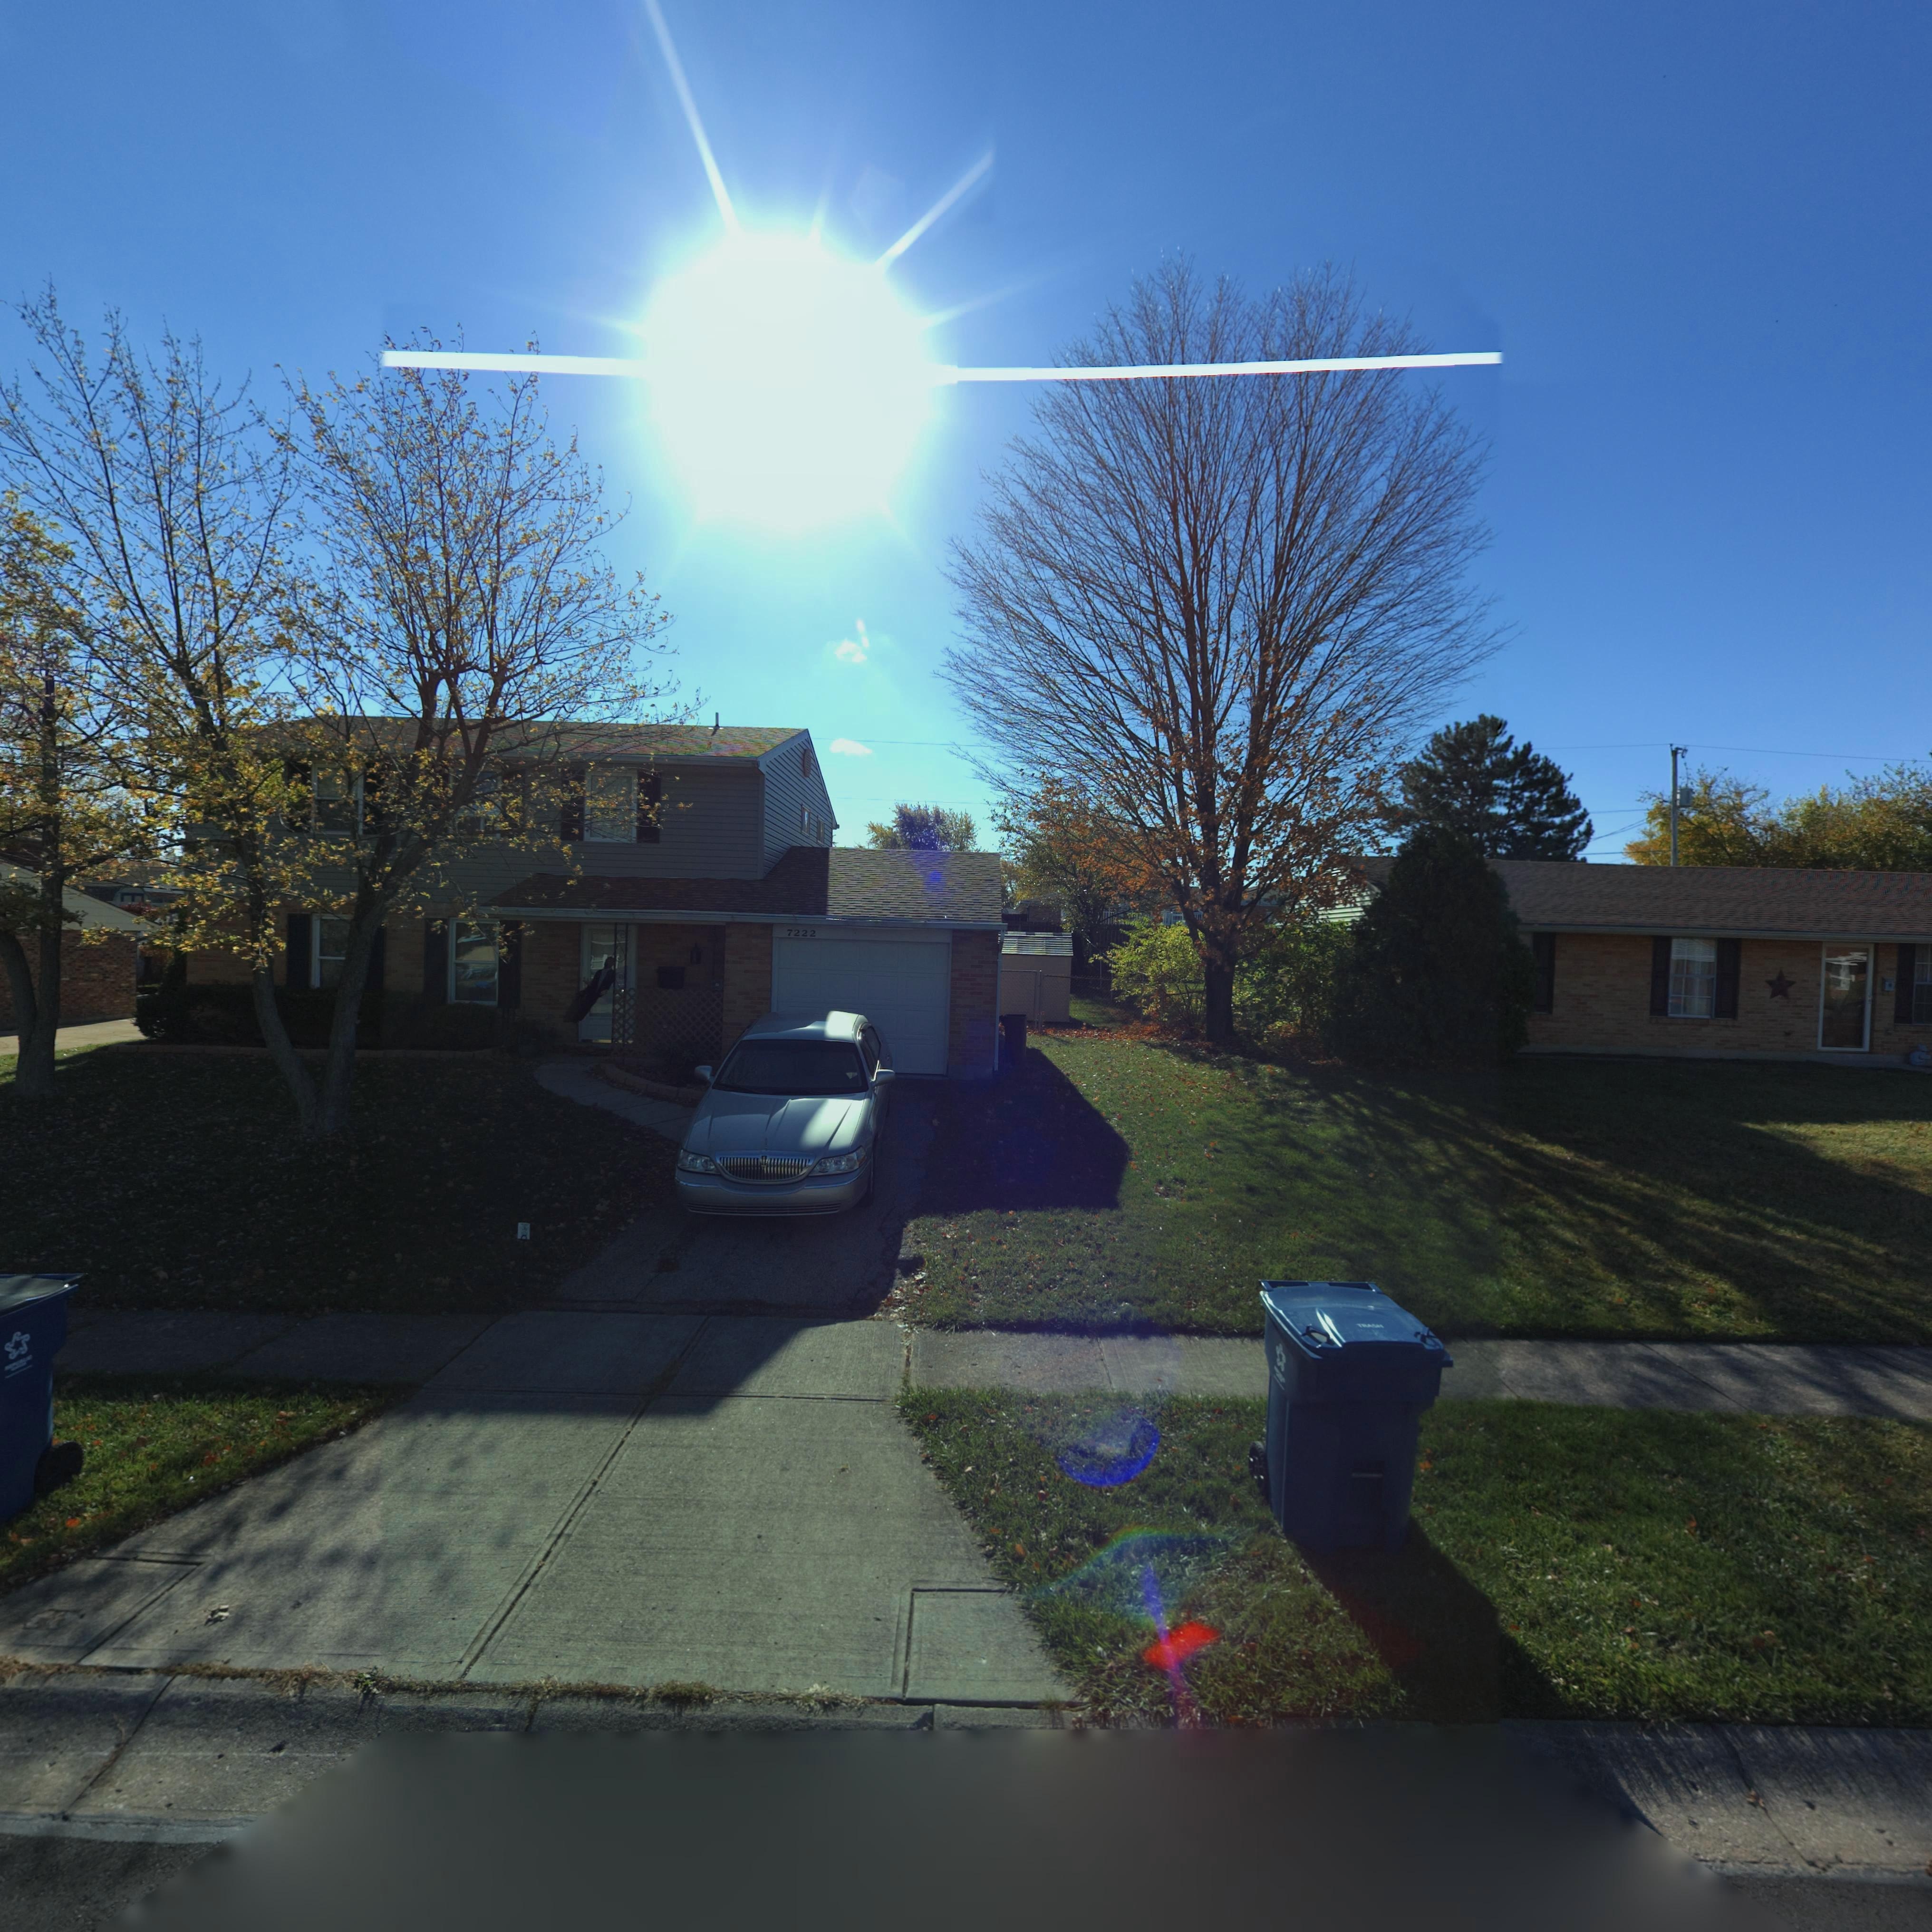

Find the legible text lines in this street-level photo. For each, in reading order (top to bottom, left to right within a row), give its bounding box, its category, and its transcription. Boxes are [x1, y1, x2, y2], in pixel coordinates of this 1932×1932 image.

[786, 928, 817, 938] StreetNumber: 7222